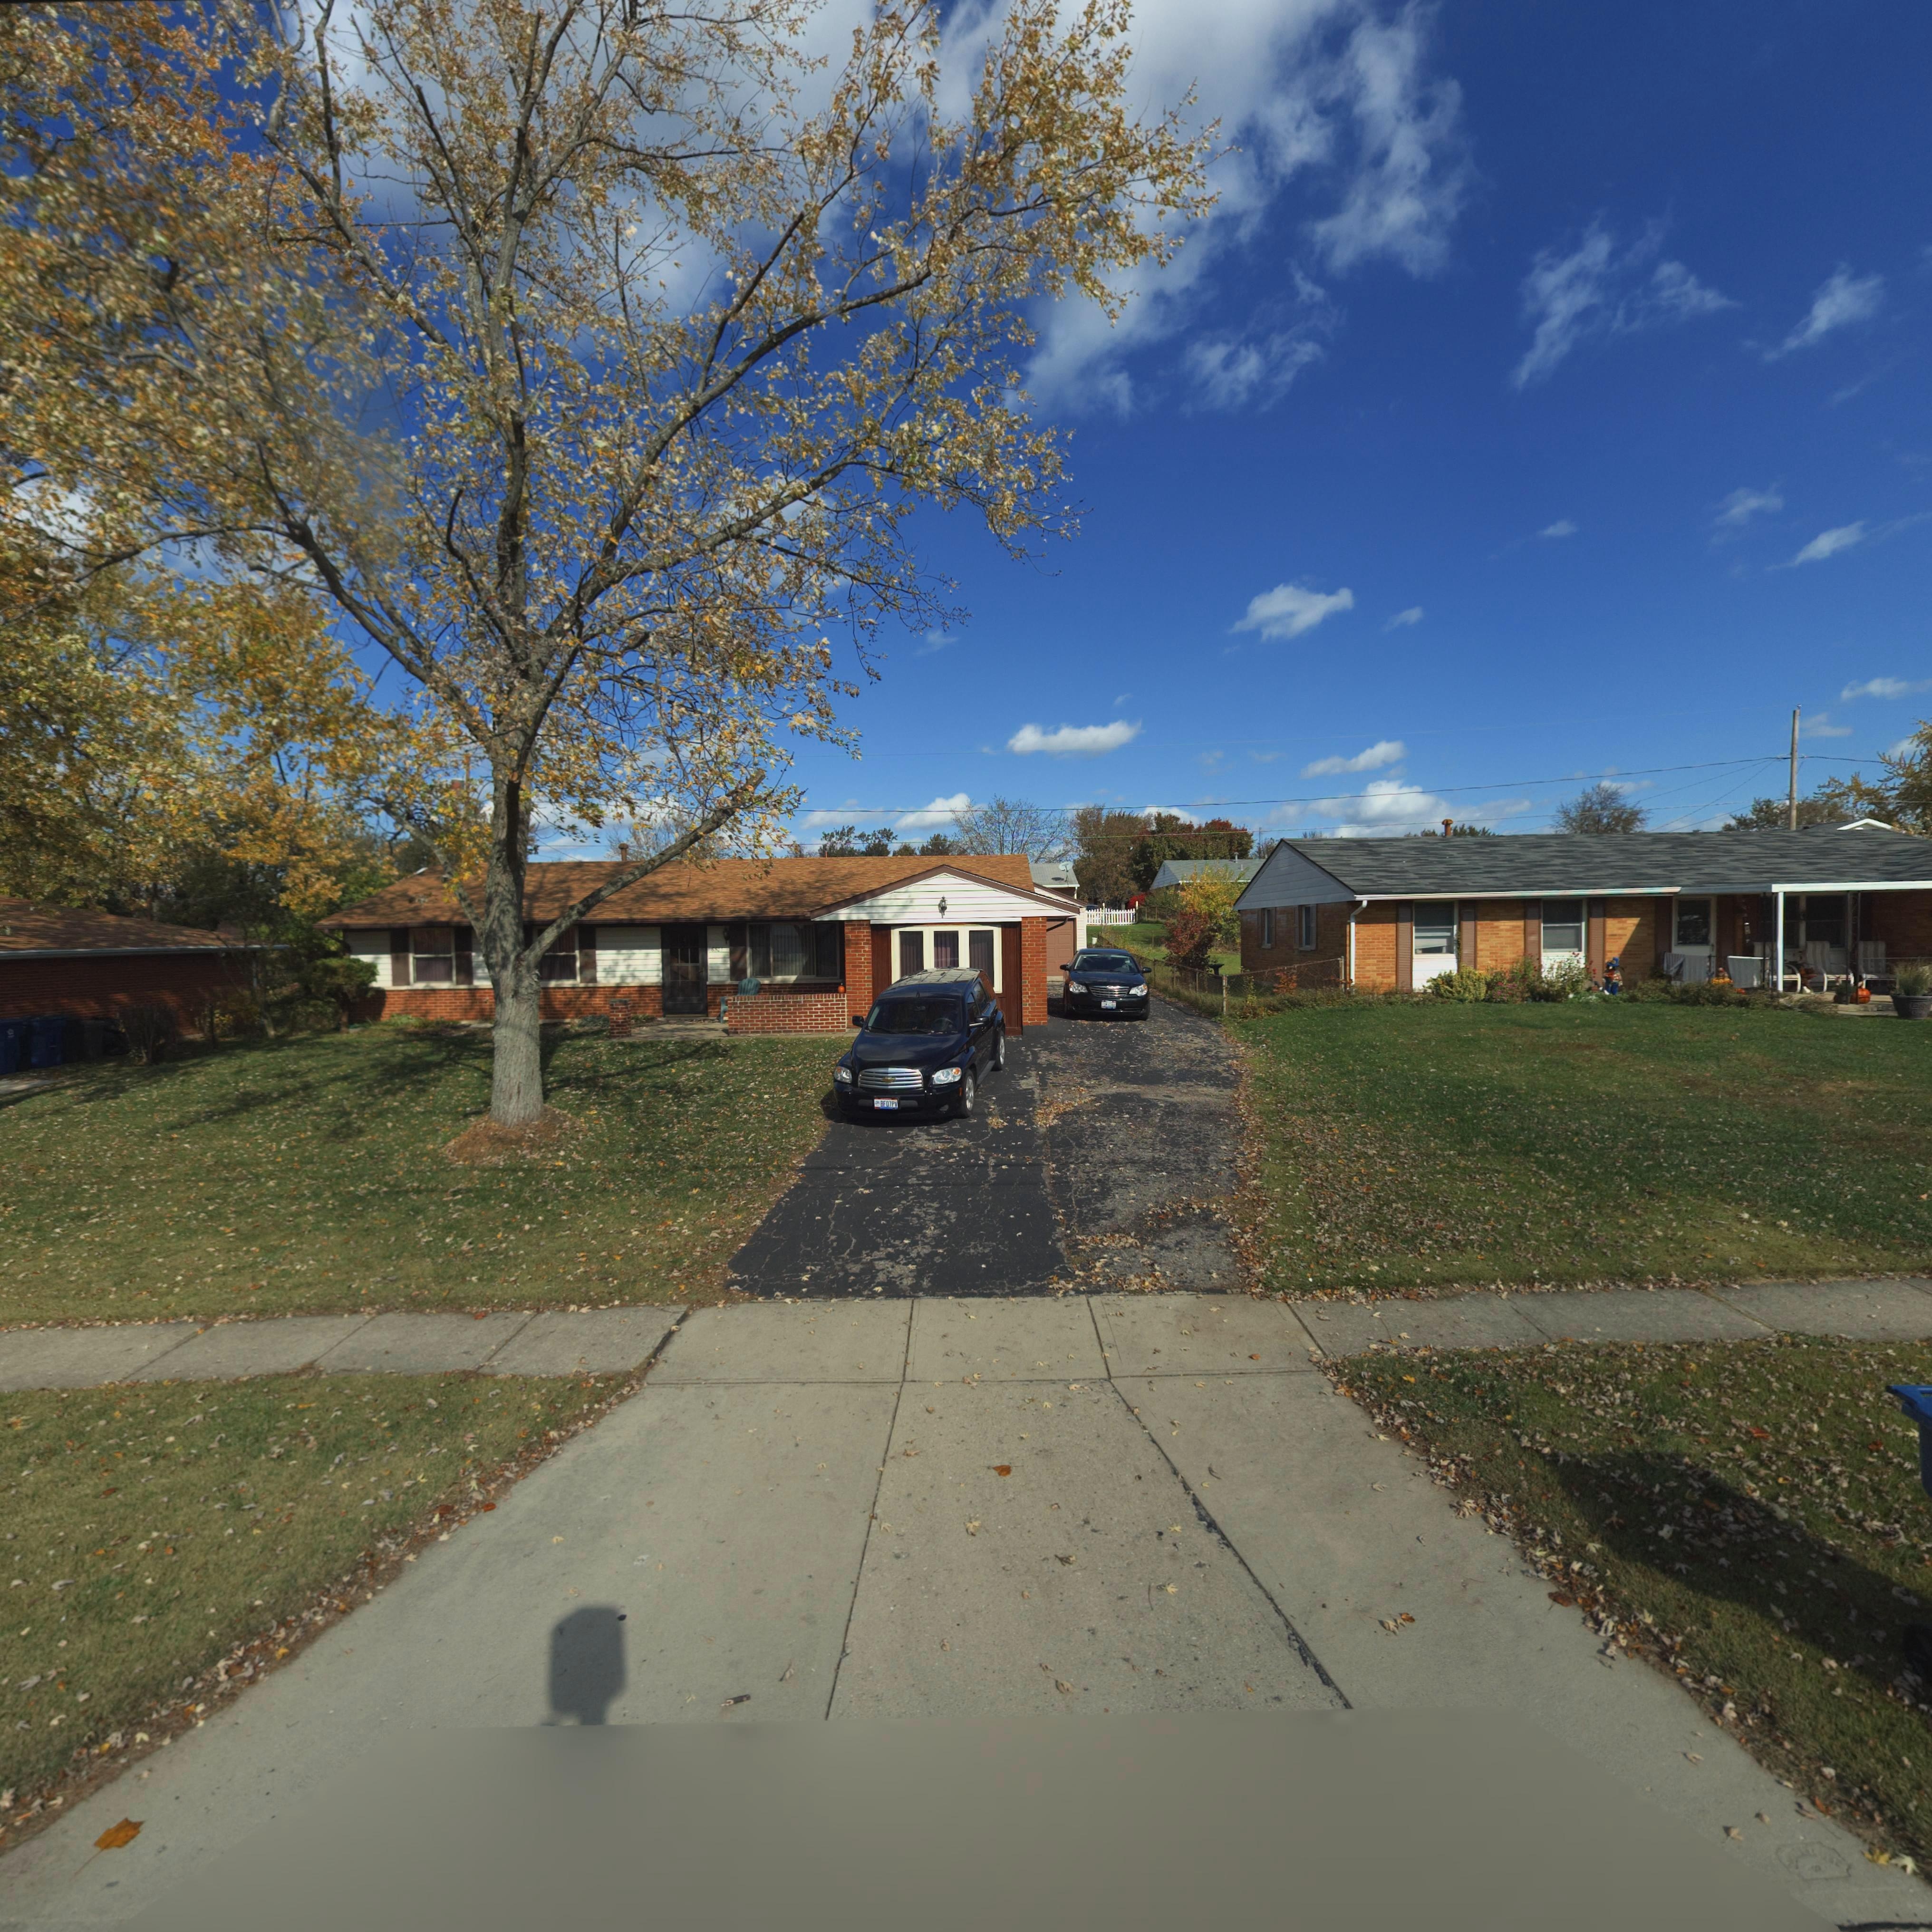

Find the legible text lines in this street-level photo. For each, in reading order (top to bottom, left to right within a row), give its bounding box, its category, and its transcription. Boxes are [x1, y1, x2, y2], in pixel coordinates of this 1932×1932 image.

[711, 947, 724, 952] StreetNumber: 6501